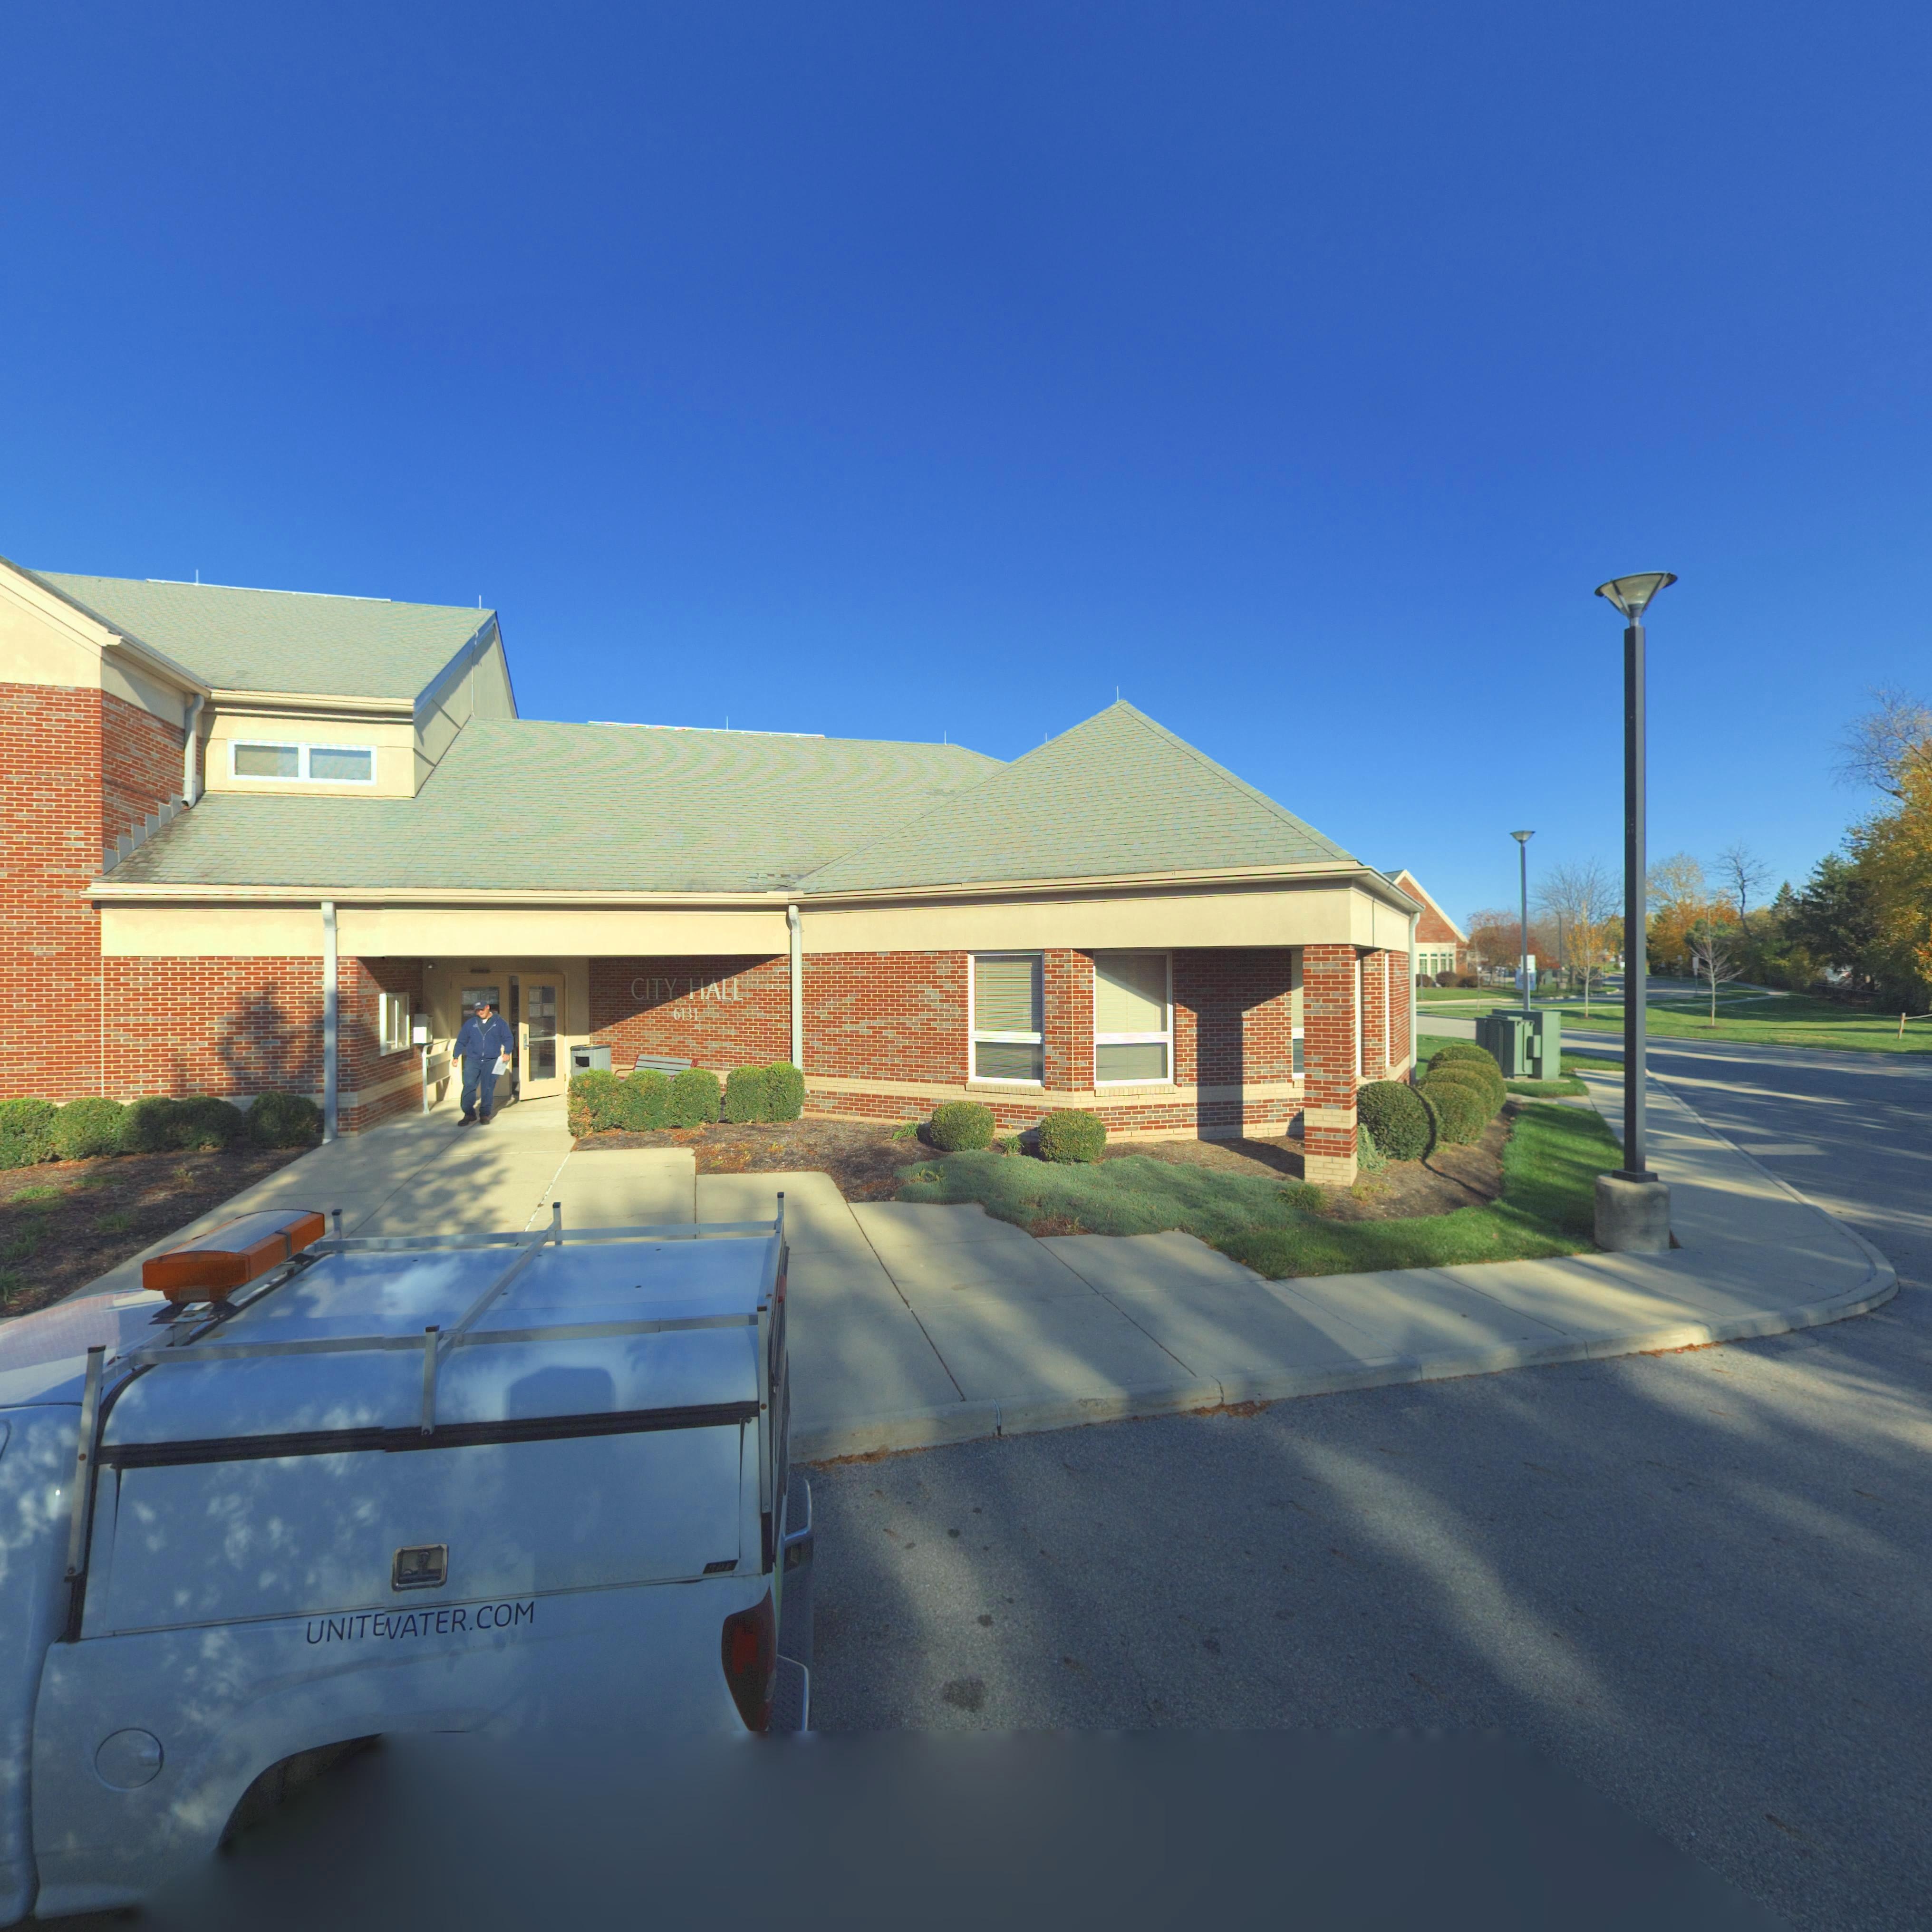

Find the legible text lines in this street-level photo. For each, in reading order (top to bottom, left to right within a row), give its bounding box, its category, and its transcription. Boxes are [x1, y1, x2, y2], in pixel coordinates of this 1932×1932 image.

[673, 1007, 698, 1021] StreetNumber: 6131